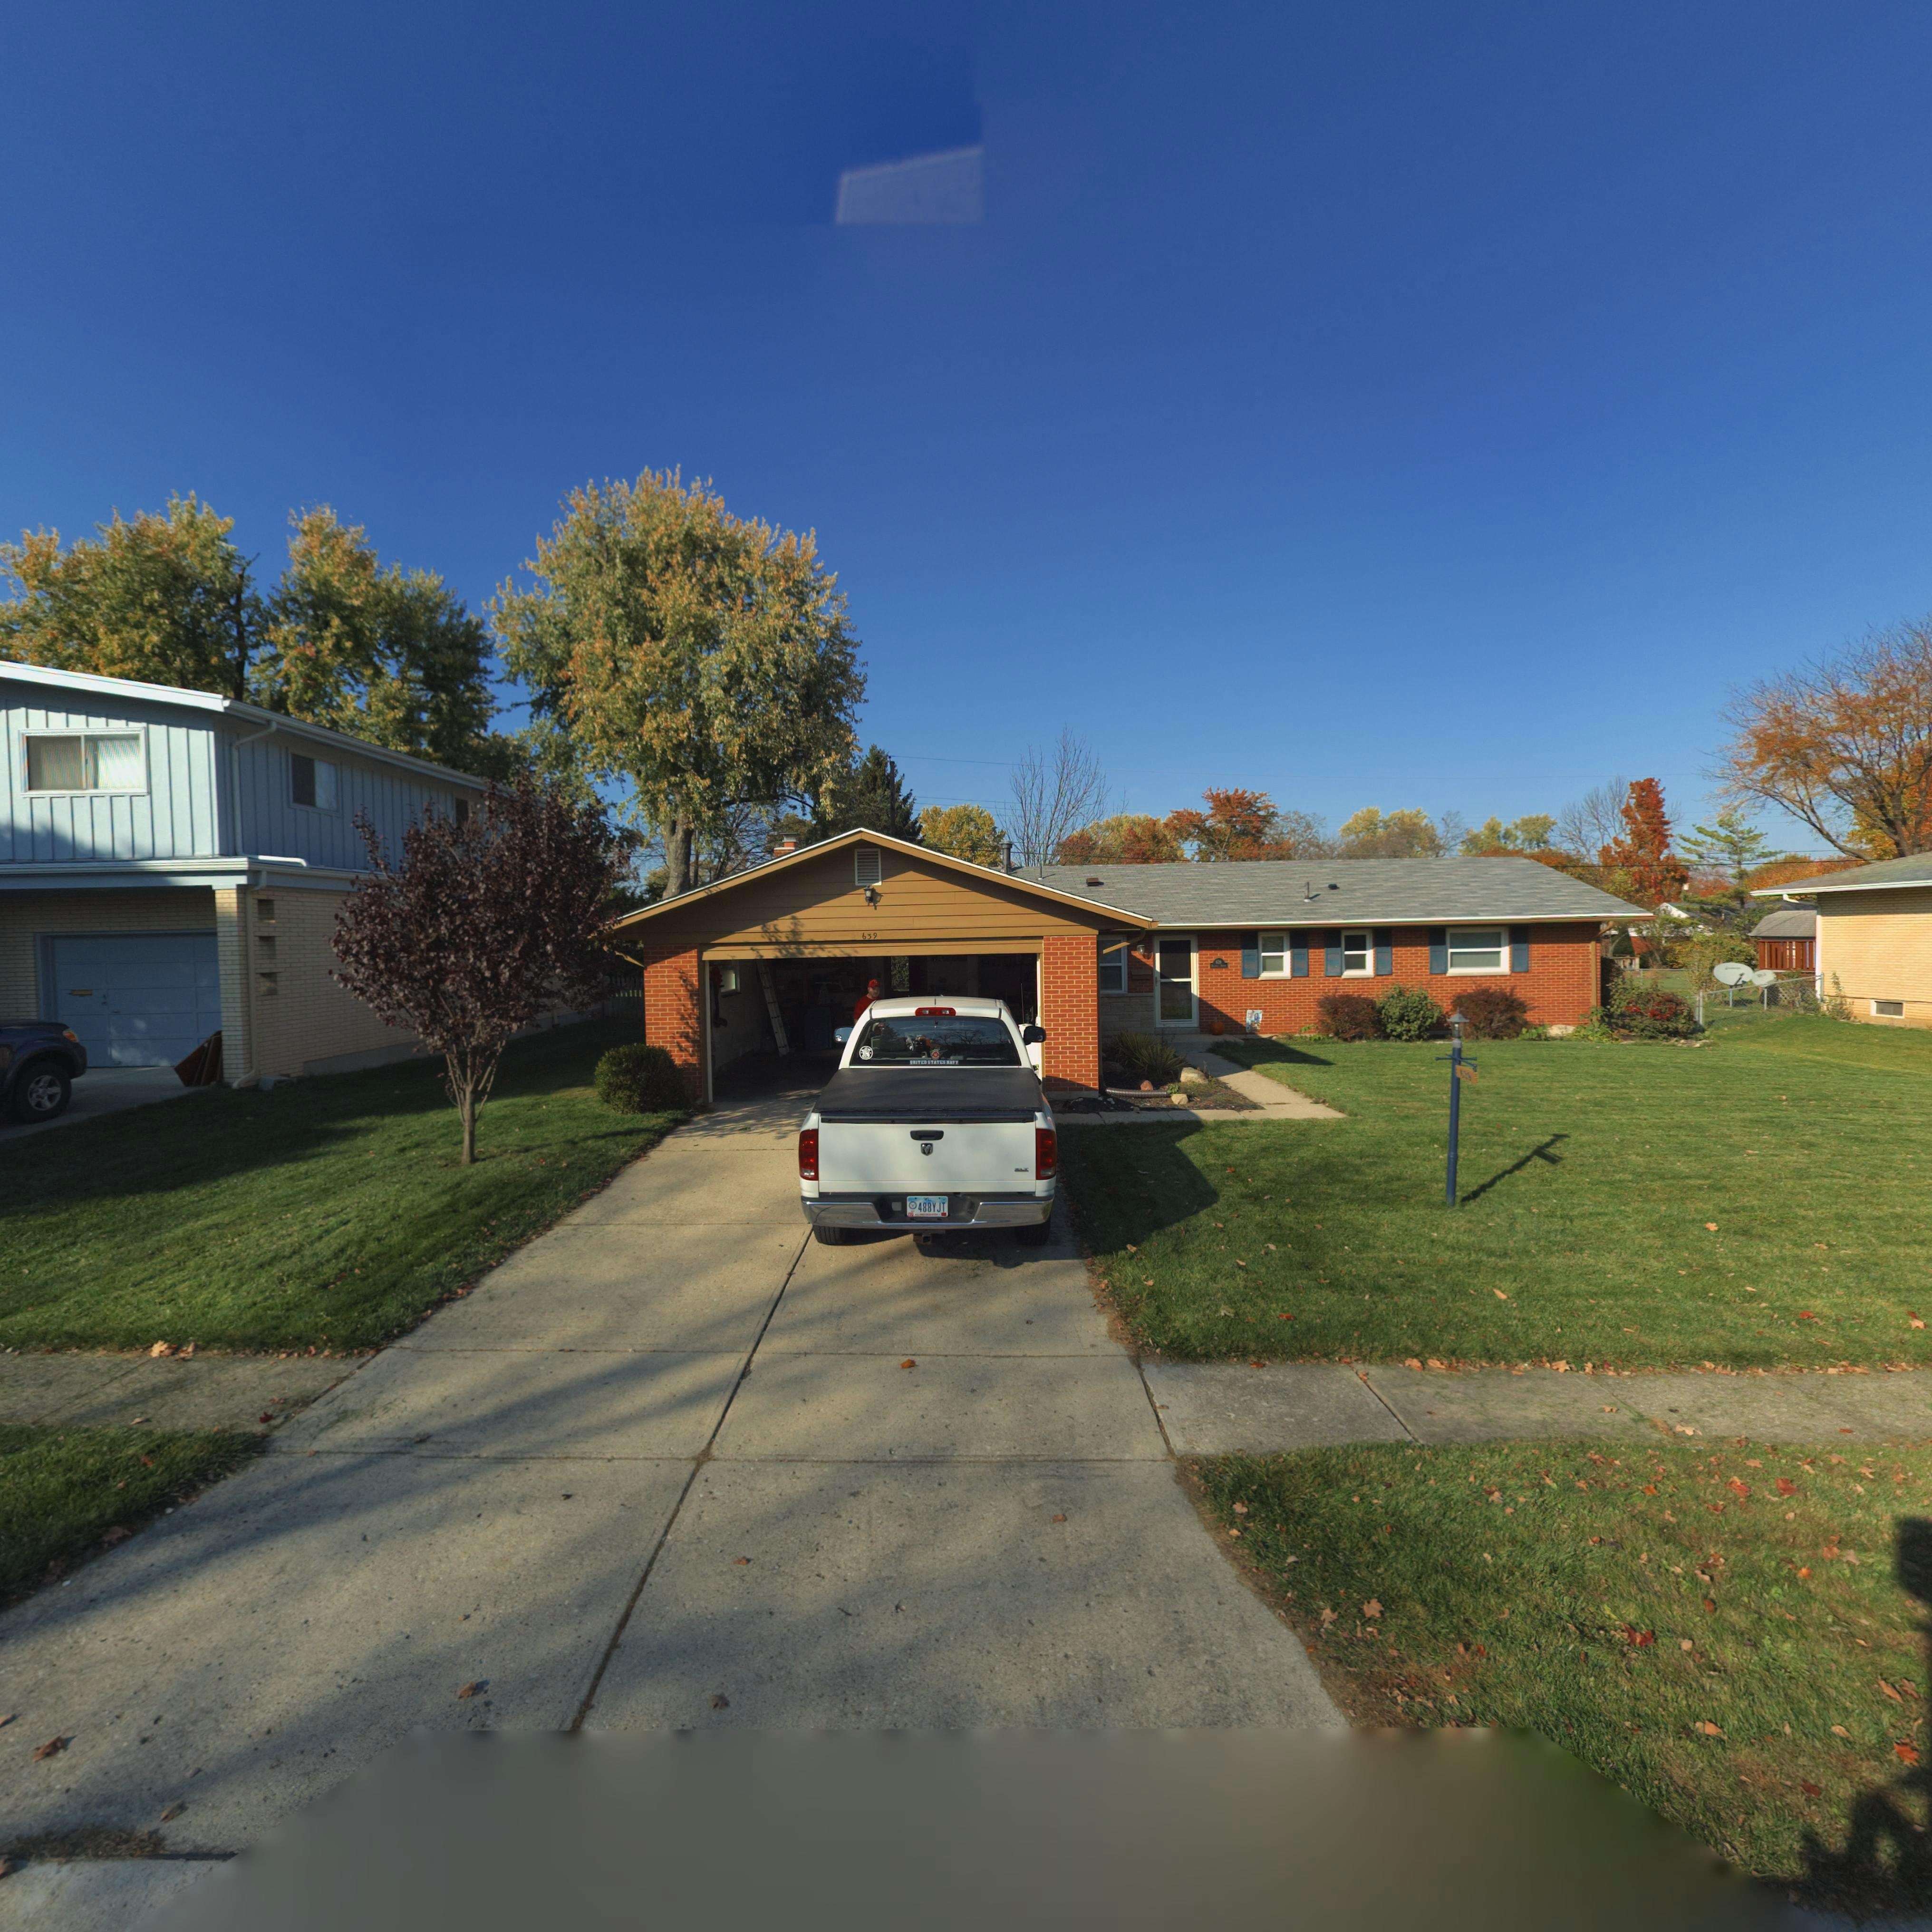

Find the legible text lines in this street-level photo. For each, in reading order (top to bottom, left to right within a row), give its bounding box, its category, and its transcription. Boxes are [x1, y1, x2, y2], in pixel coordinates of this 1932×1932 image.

[861, 932, 878, 940] StreetNumber: 639
[1215, 960, 1222, 965] StreetNumber: 6*9
[1459, 1069, 1472, 1083] StreetNumber: 6*9